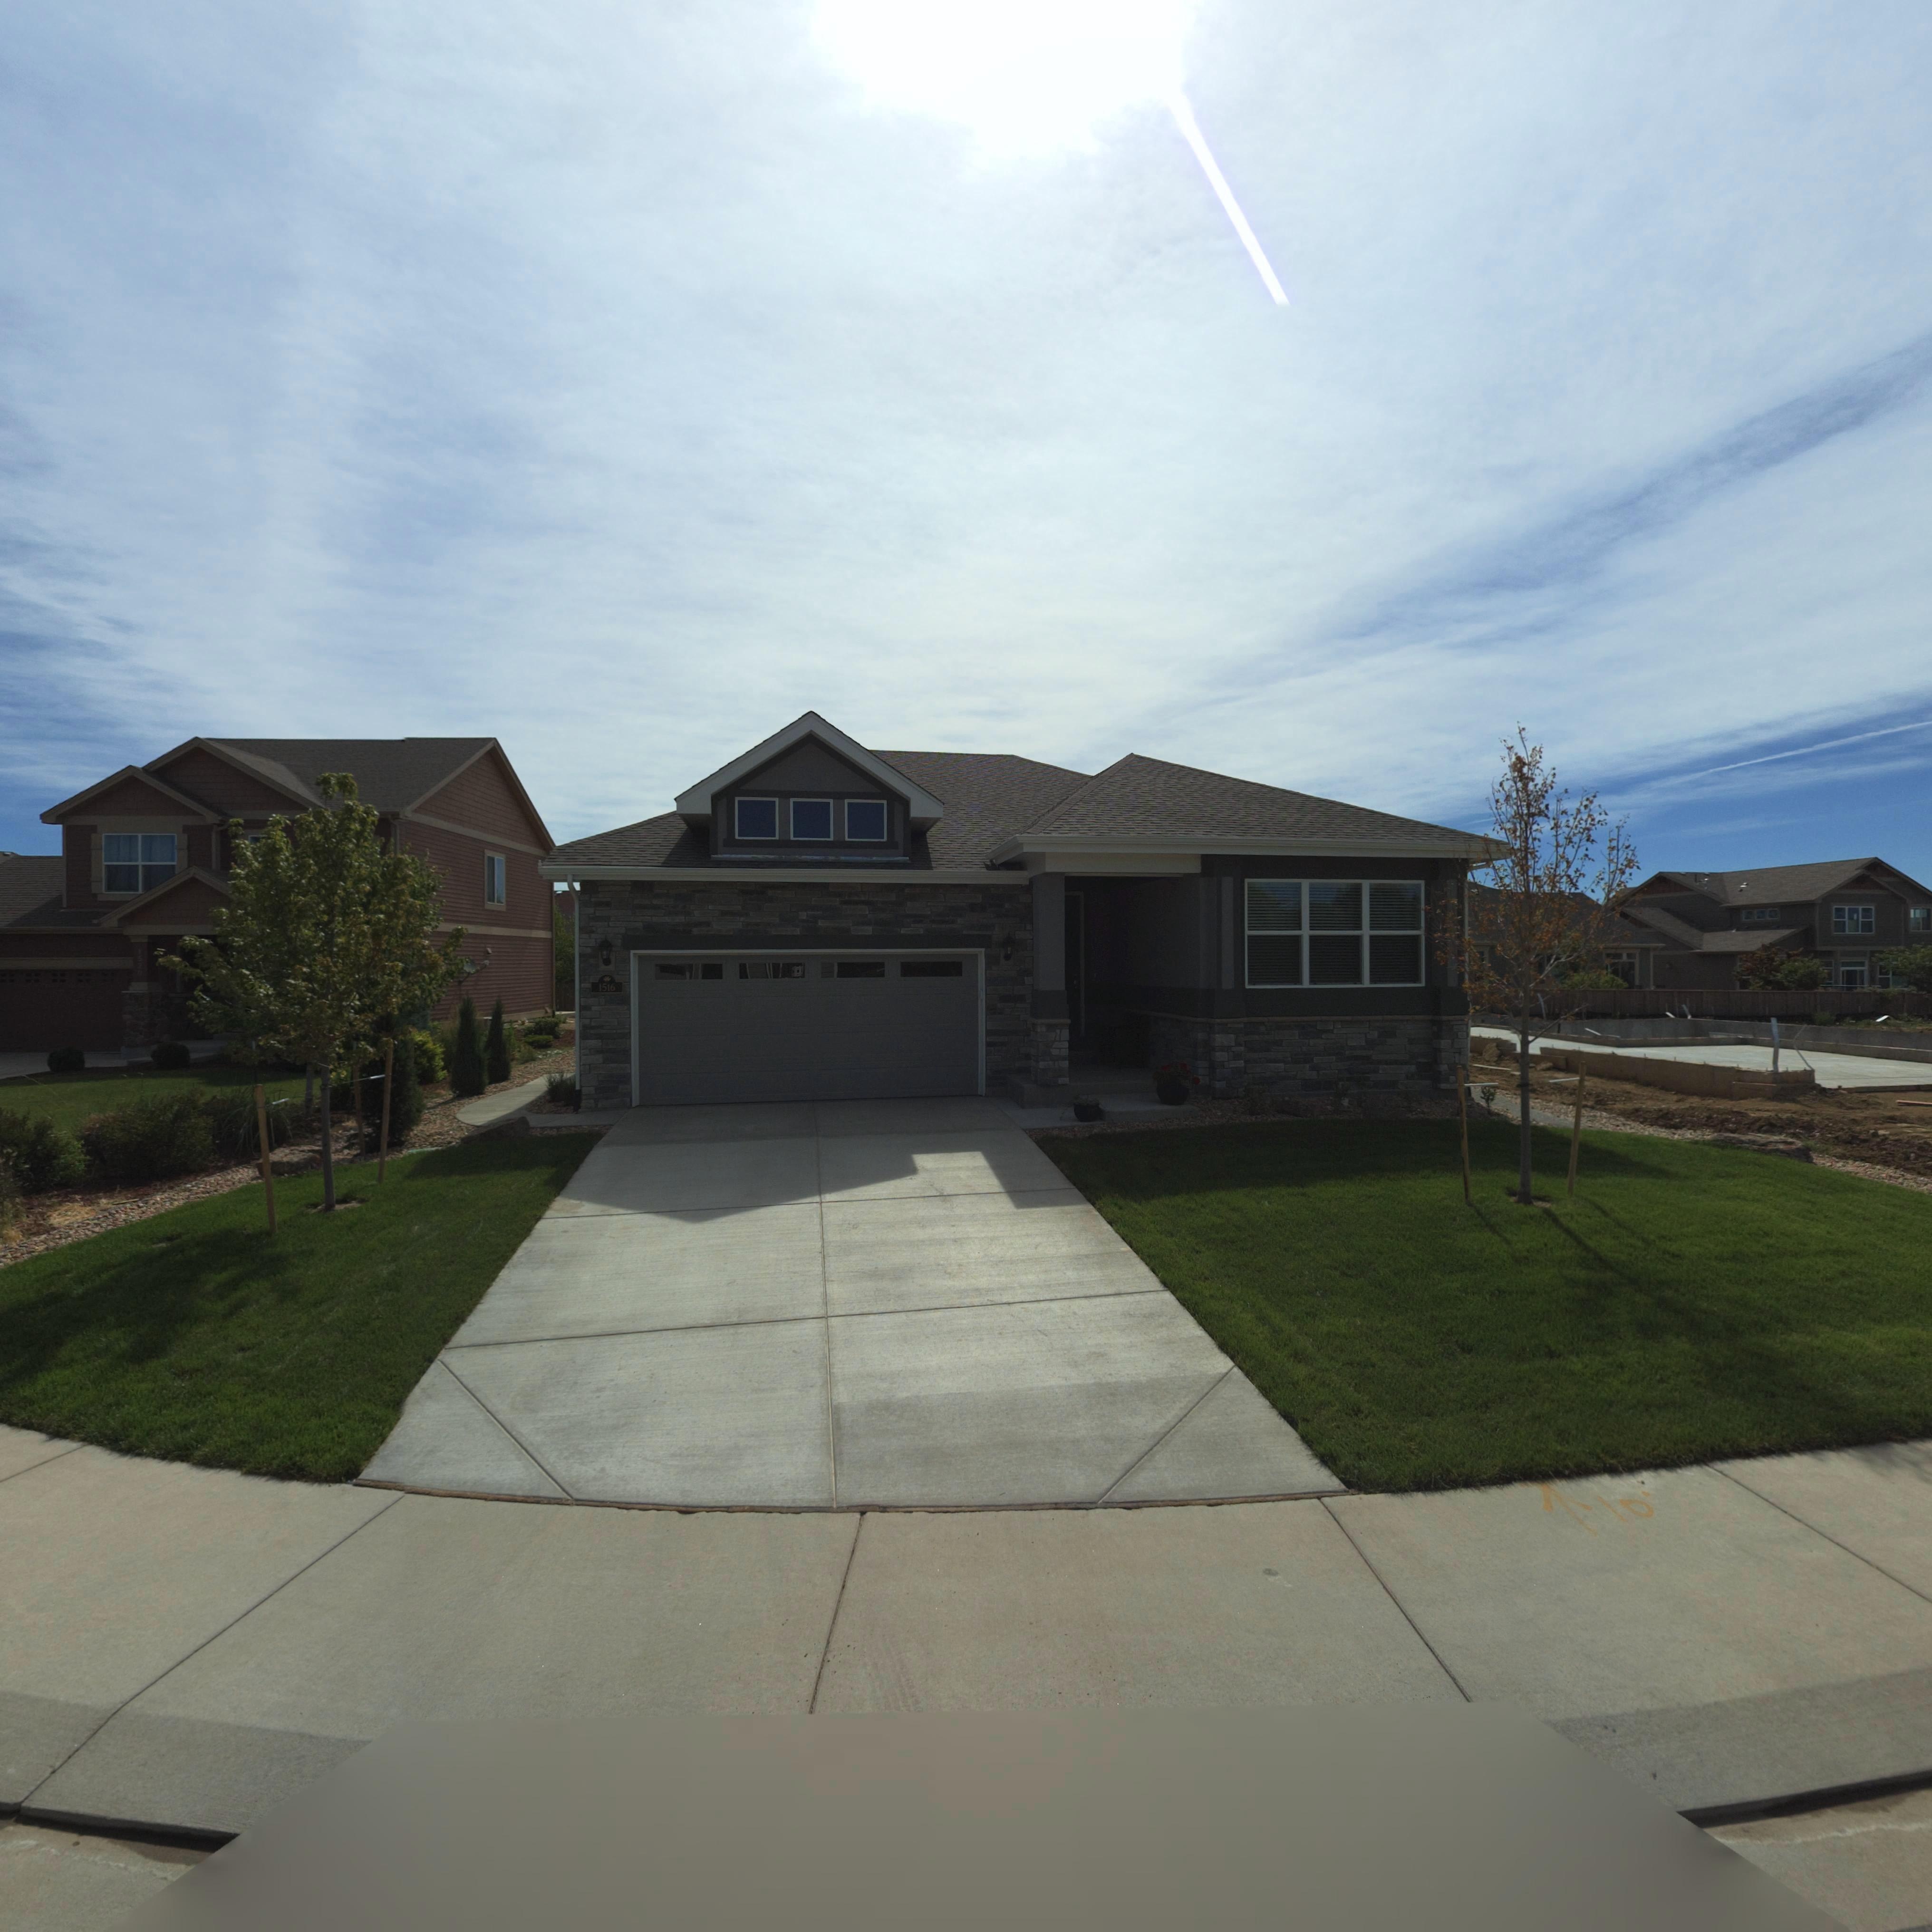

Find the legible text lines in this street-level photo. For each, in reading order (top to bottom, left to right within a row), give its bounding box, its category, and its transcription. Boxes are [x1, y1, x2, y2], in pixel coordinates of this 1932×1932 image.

[137, 949, 142, 976] StreetNumber: 1520
[599, 983, 615, 991] StreetNumber: 1516